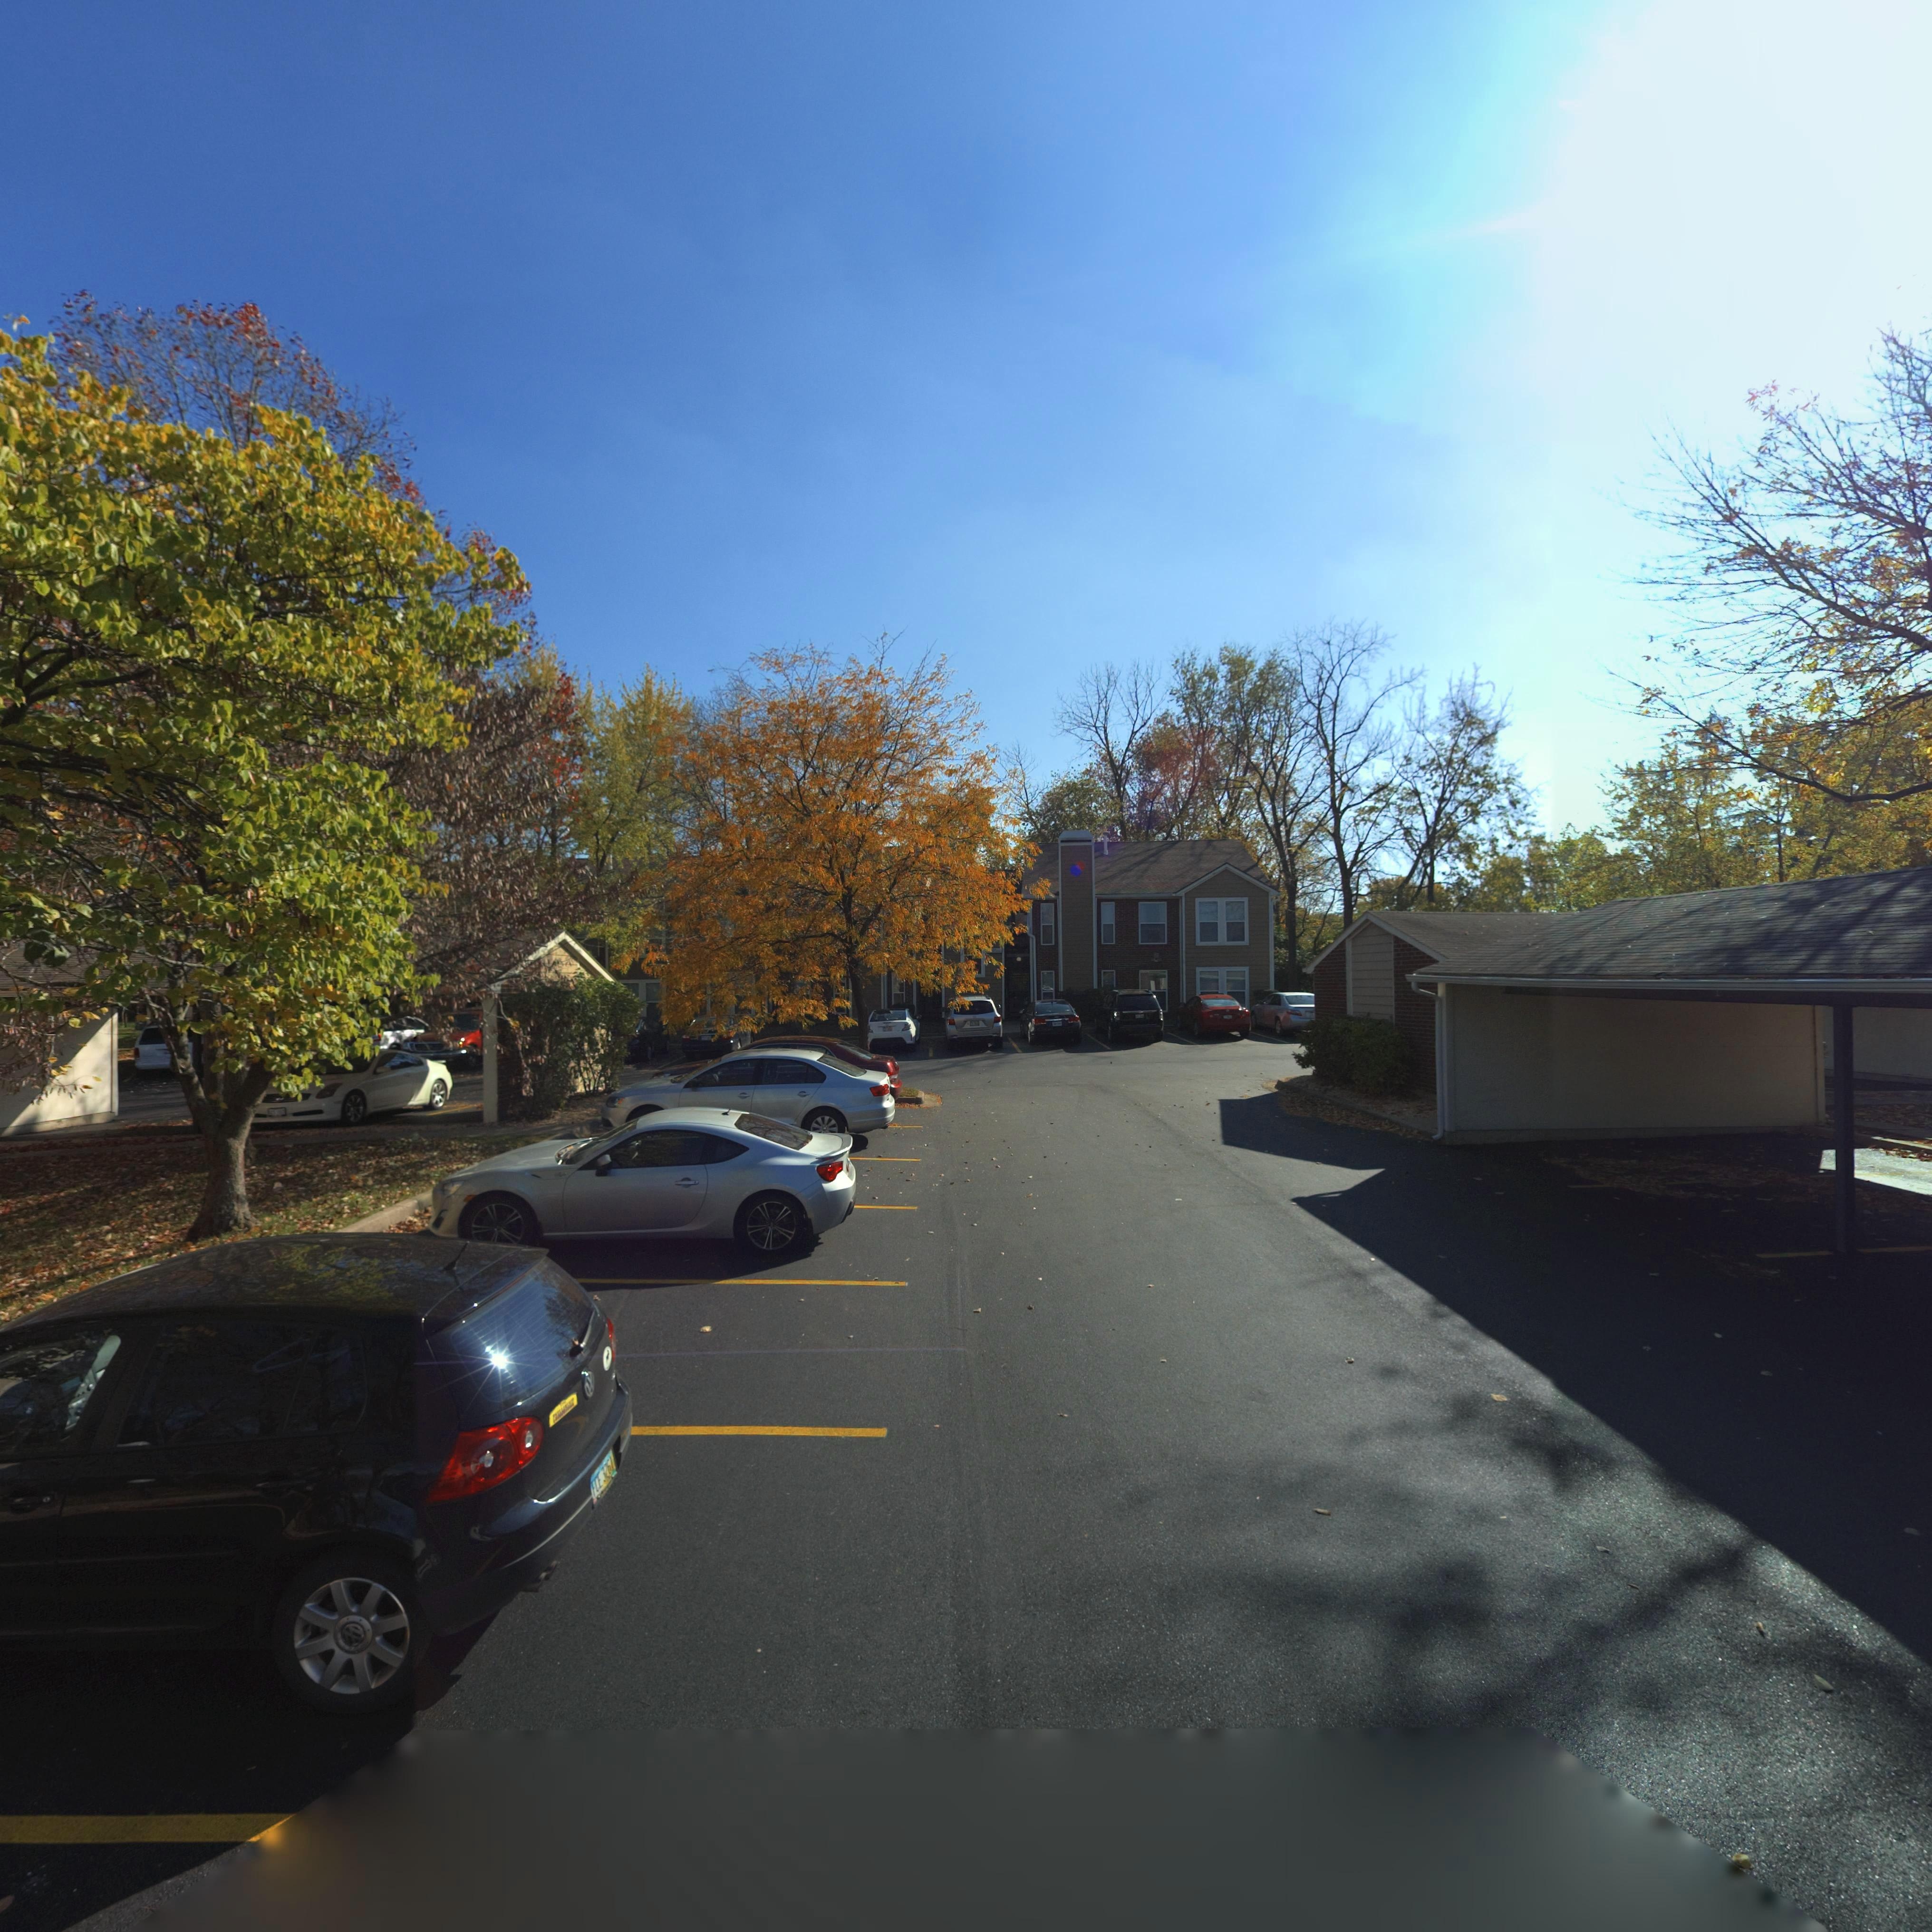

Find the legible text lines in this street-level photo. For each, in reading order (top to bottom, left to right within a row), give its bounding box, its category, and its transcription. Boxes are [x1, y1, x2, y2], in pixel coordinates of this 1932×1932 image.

[589, 1453, 616, 1500] None: *** 3*61